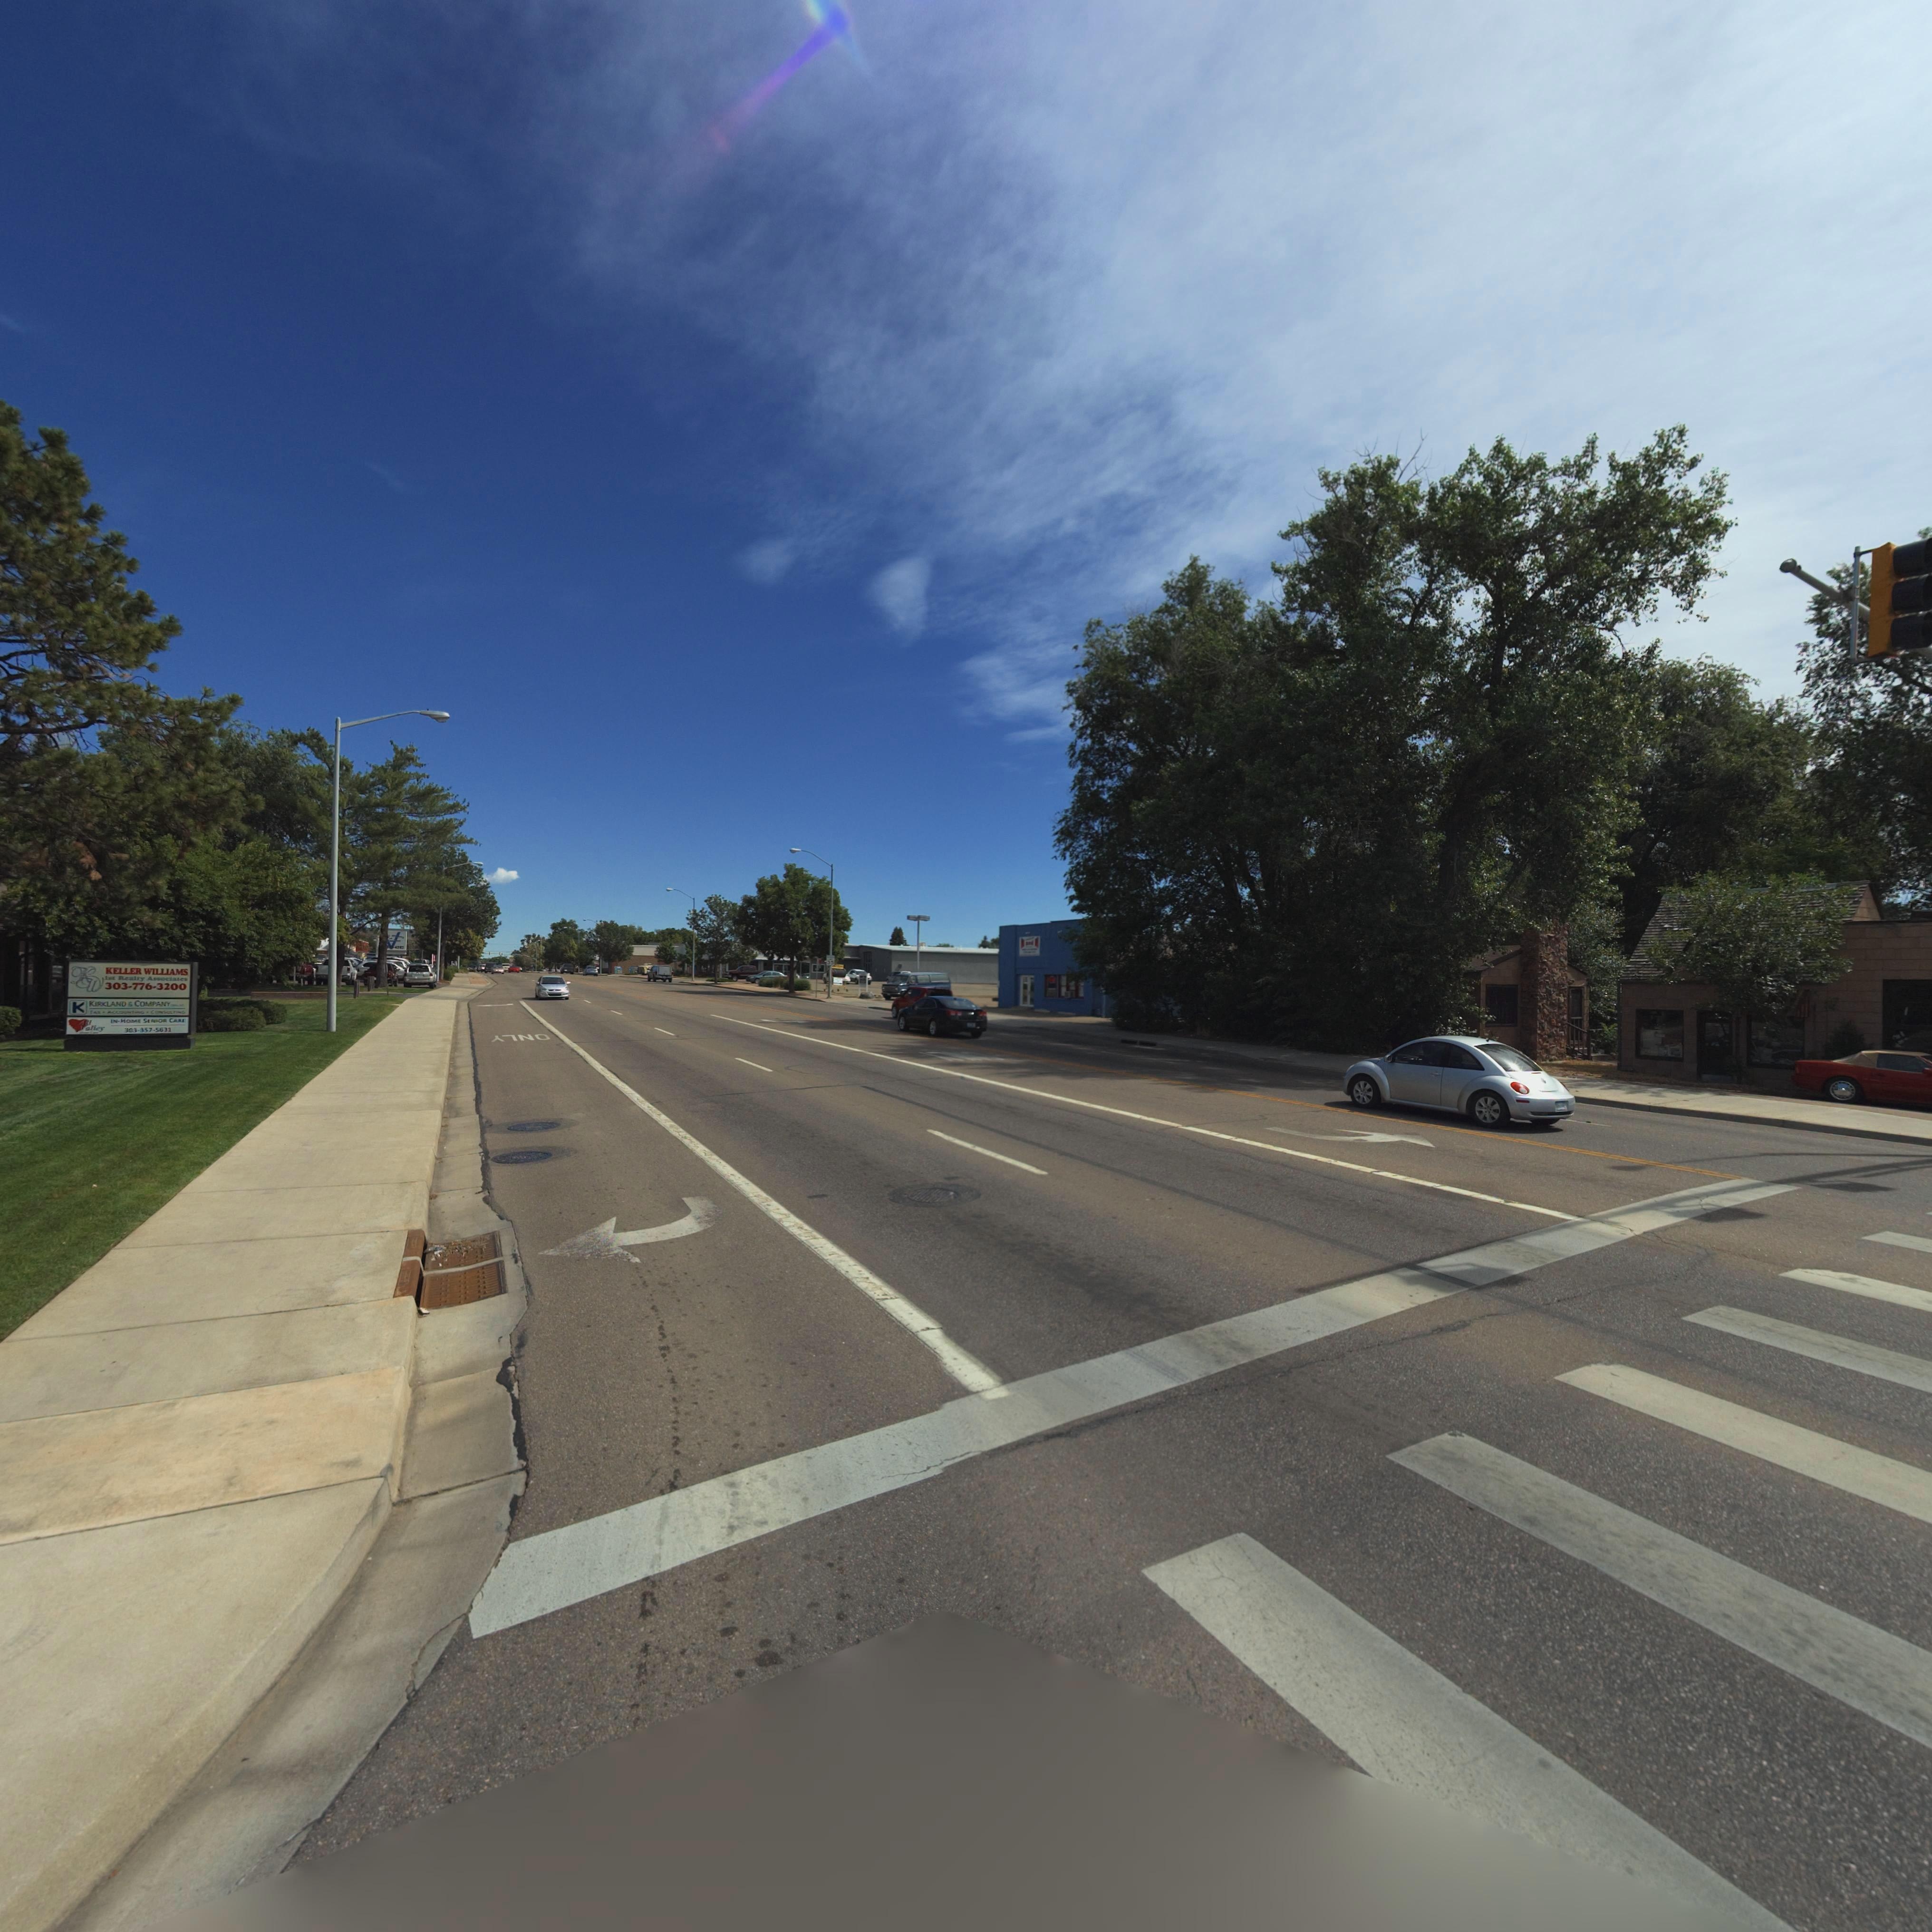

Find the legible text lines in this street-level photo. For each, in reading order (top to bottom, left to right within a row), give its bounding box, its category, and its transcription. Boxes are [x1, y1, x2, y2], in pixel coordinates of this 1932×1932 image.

[105, 966, 189, 976] BusinessName: KELLER WILLIAMS
[104, 975, 188, 982] BusinessName: 1** R**lty A**o*****s
[88, 1000, 171, 1007] BusinessName: KIRKLAND * COMPANY
[75, 1019, 93, 1026] BusinessName: *ll
[110, 1017, 186, 1024] BusinessName: IN*HO** S***O* C***